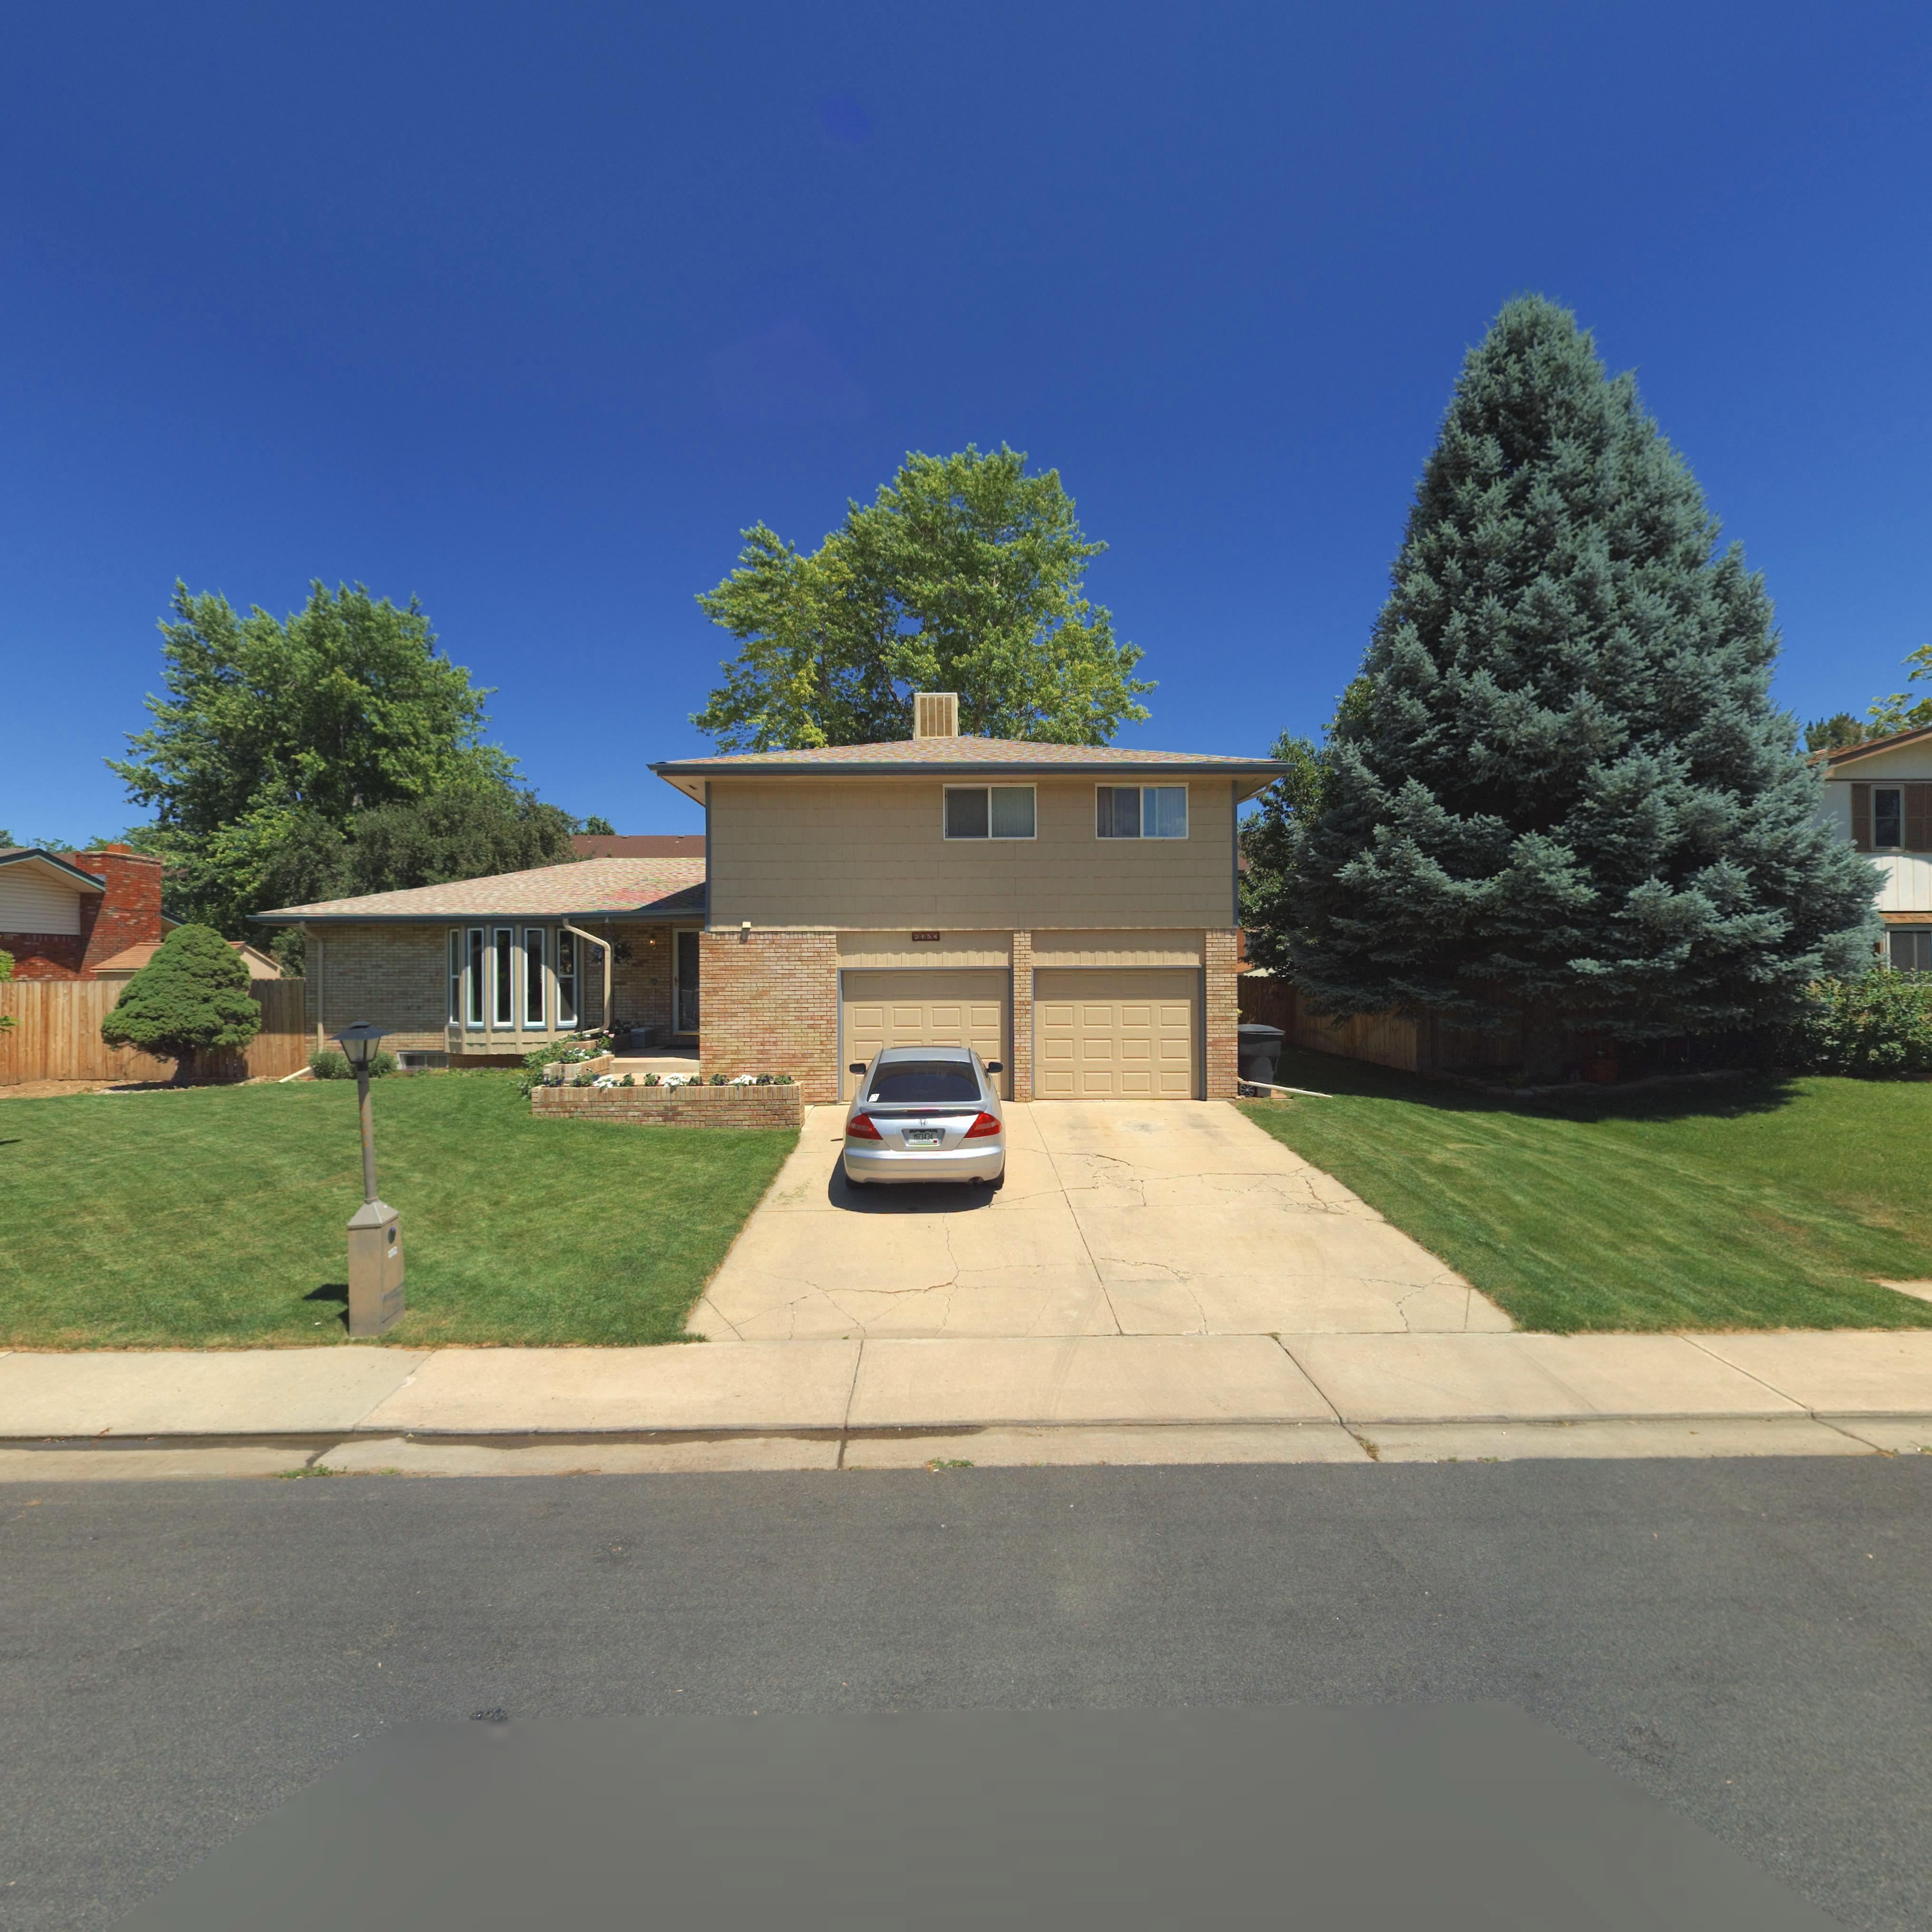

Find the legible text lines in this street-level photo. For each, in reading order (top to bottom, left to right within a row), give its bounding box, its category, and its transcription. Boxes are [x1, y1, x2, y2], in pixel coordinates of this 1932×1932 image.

[913, 934, 937, 940] StreetNumber: 2154